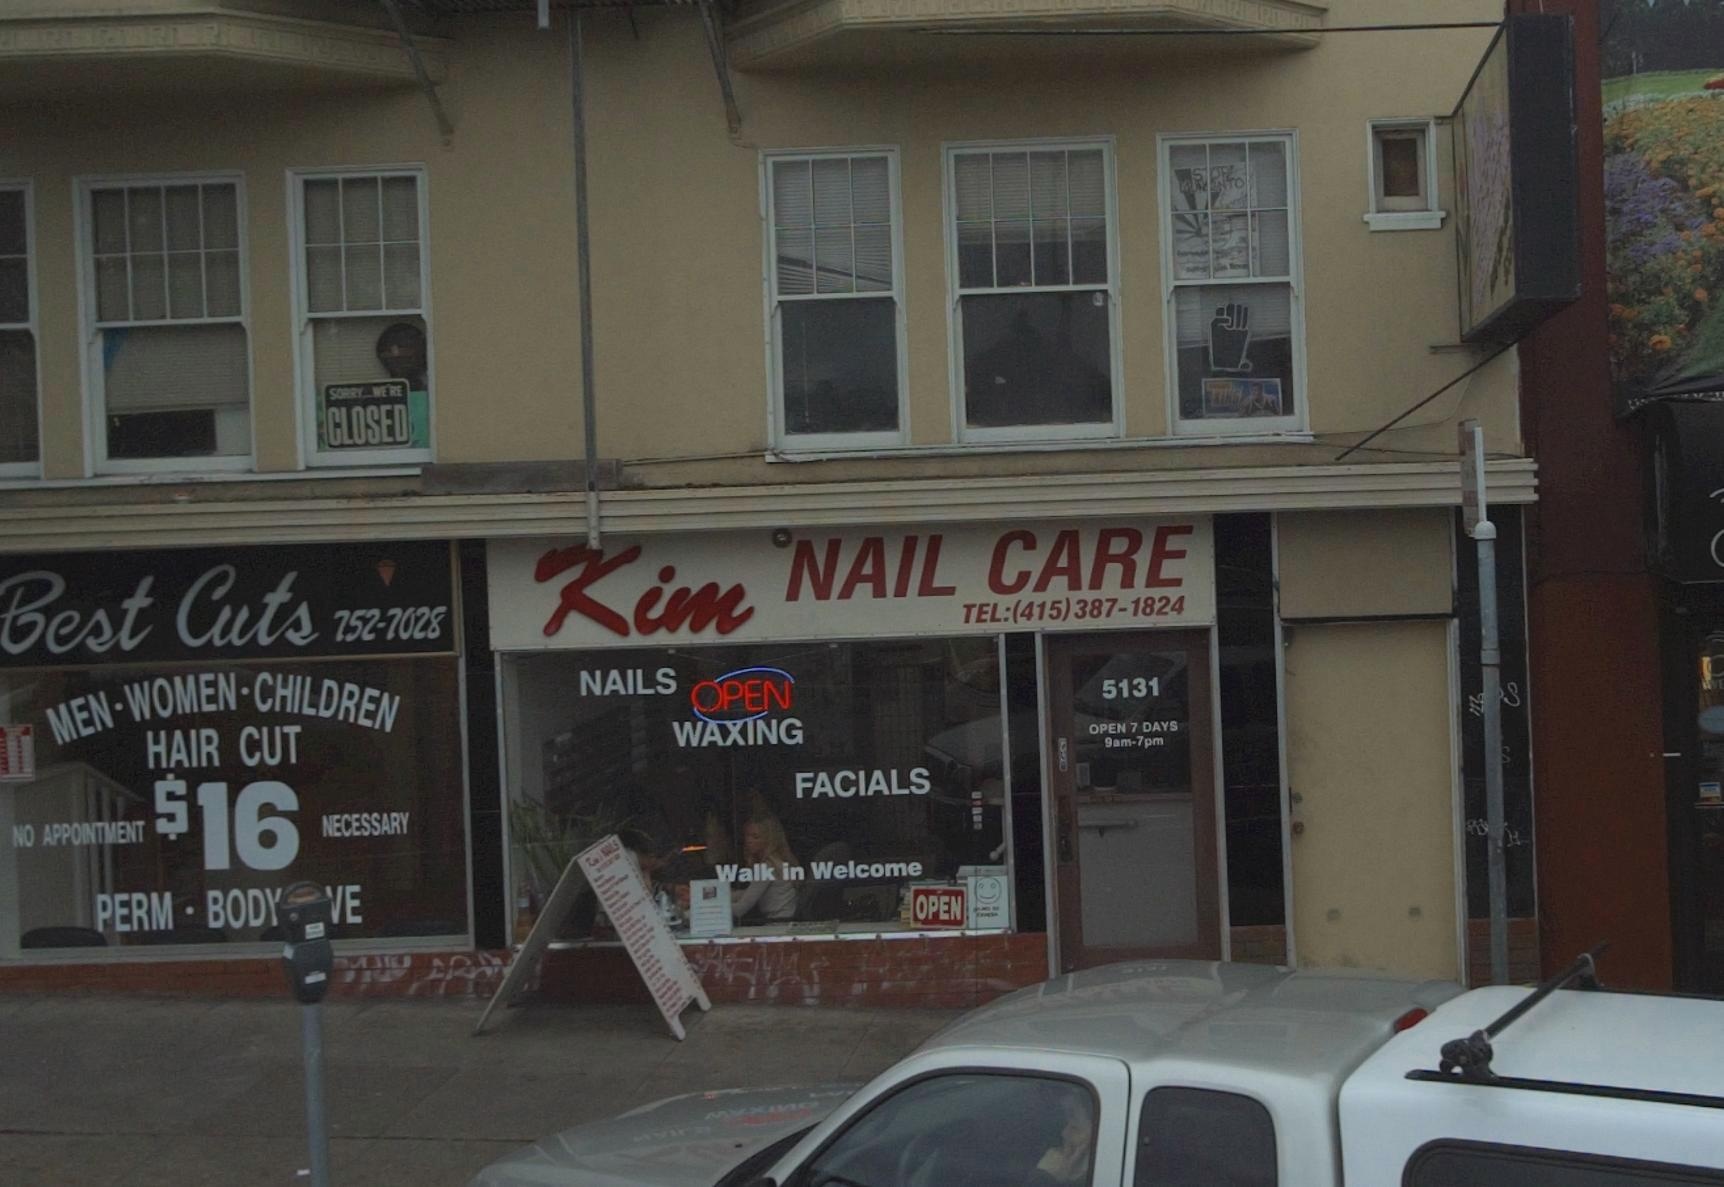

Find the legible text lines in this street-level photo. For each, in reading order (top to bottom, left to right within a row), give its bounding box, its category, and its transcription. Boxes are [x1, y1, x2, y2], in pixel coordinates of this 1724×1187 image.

[326, 381, 407, 404] None: SORRY...WE'RE
[325, 401, 411, 450] None: CLOSED
[528, 521, 1198, 642] BusinessName: KIM NAIL CARE
[40, 559, 326, 661] BusinessName: est Cuts
[331, 602, 451, 645] None: 752-7028
[960, 591, 1188, 628] None: TEL:(415)387-1824
[41, 668, 405, 749] None: MEN*WOMEN*CHILDREN
[577, 664, 681, 699] None: NNAILS
[688, 676, 793, 716] None: OPEN
[1100, 674, 1162, 702] StreetNumber: 5131
[144, 721, 306, 773] None: HAIR CUT
[667, 714, 806, 751] None: WAXING
[1086, 717, 1181, 738] None: OPEN 7 DAYS
[1101, 733, 1167, 751] None: 9am-7pm
[792, 763, 934, 801] None: FACIALS
[10, 817, 148, 851] None: NO APPOINTMENT
[193, 775, 304, 873] None: 16
[320, 808, 412, 841] None: NECESSARY
[711, 858, 926, 887] None: Walk in Welcome
[92, 879, 368, 938] None: PERM * BOD***E
[911, 892, 965, 923] None: OPEN\